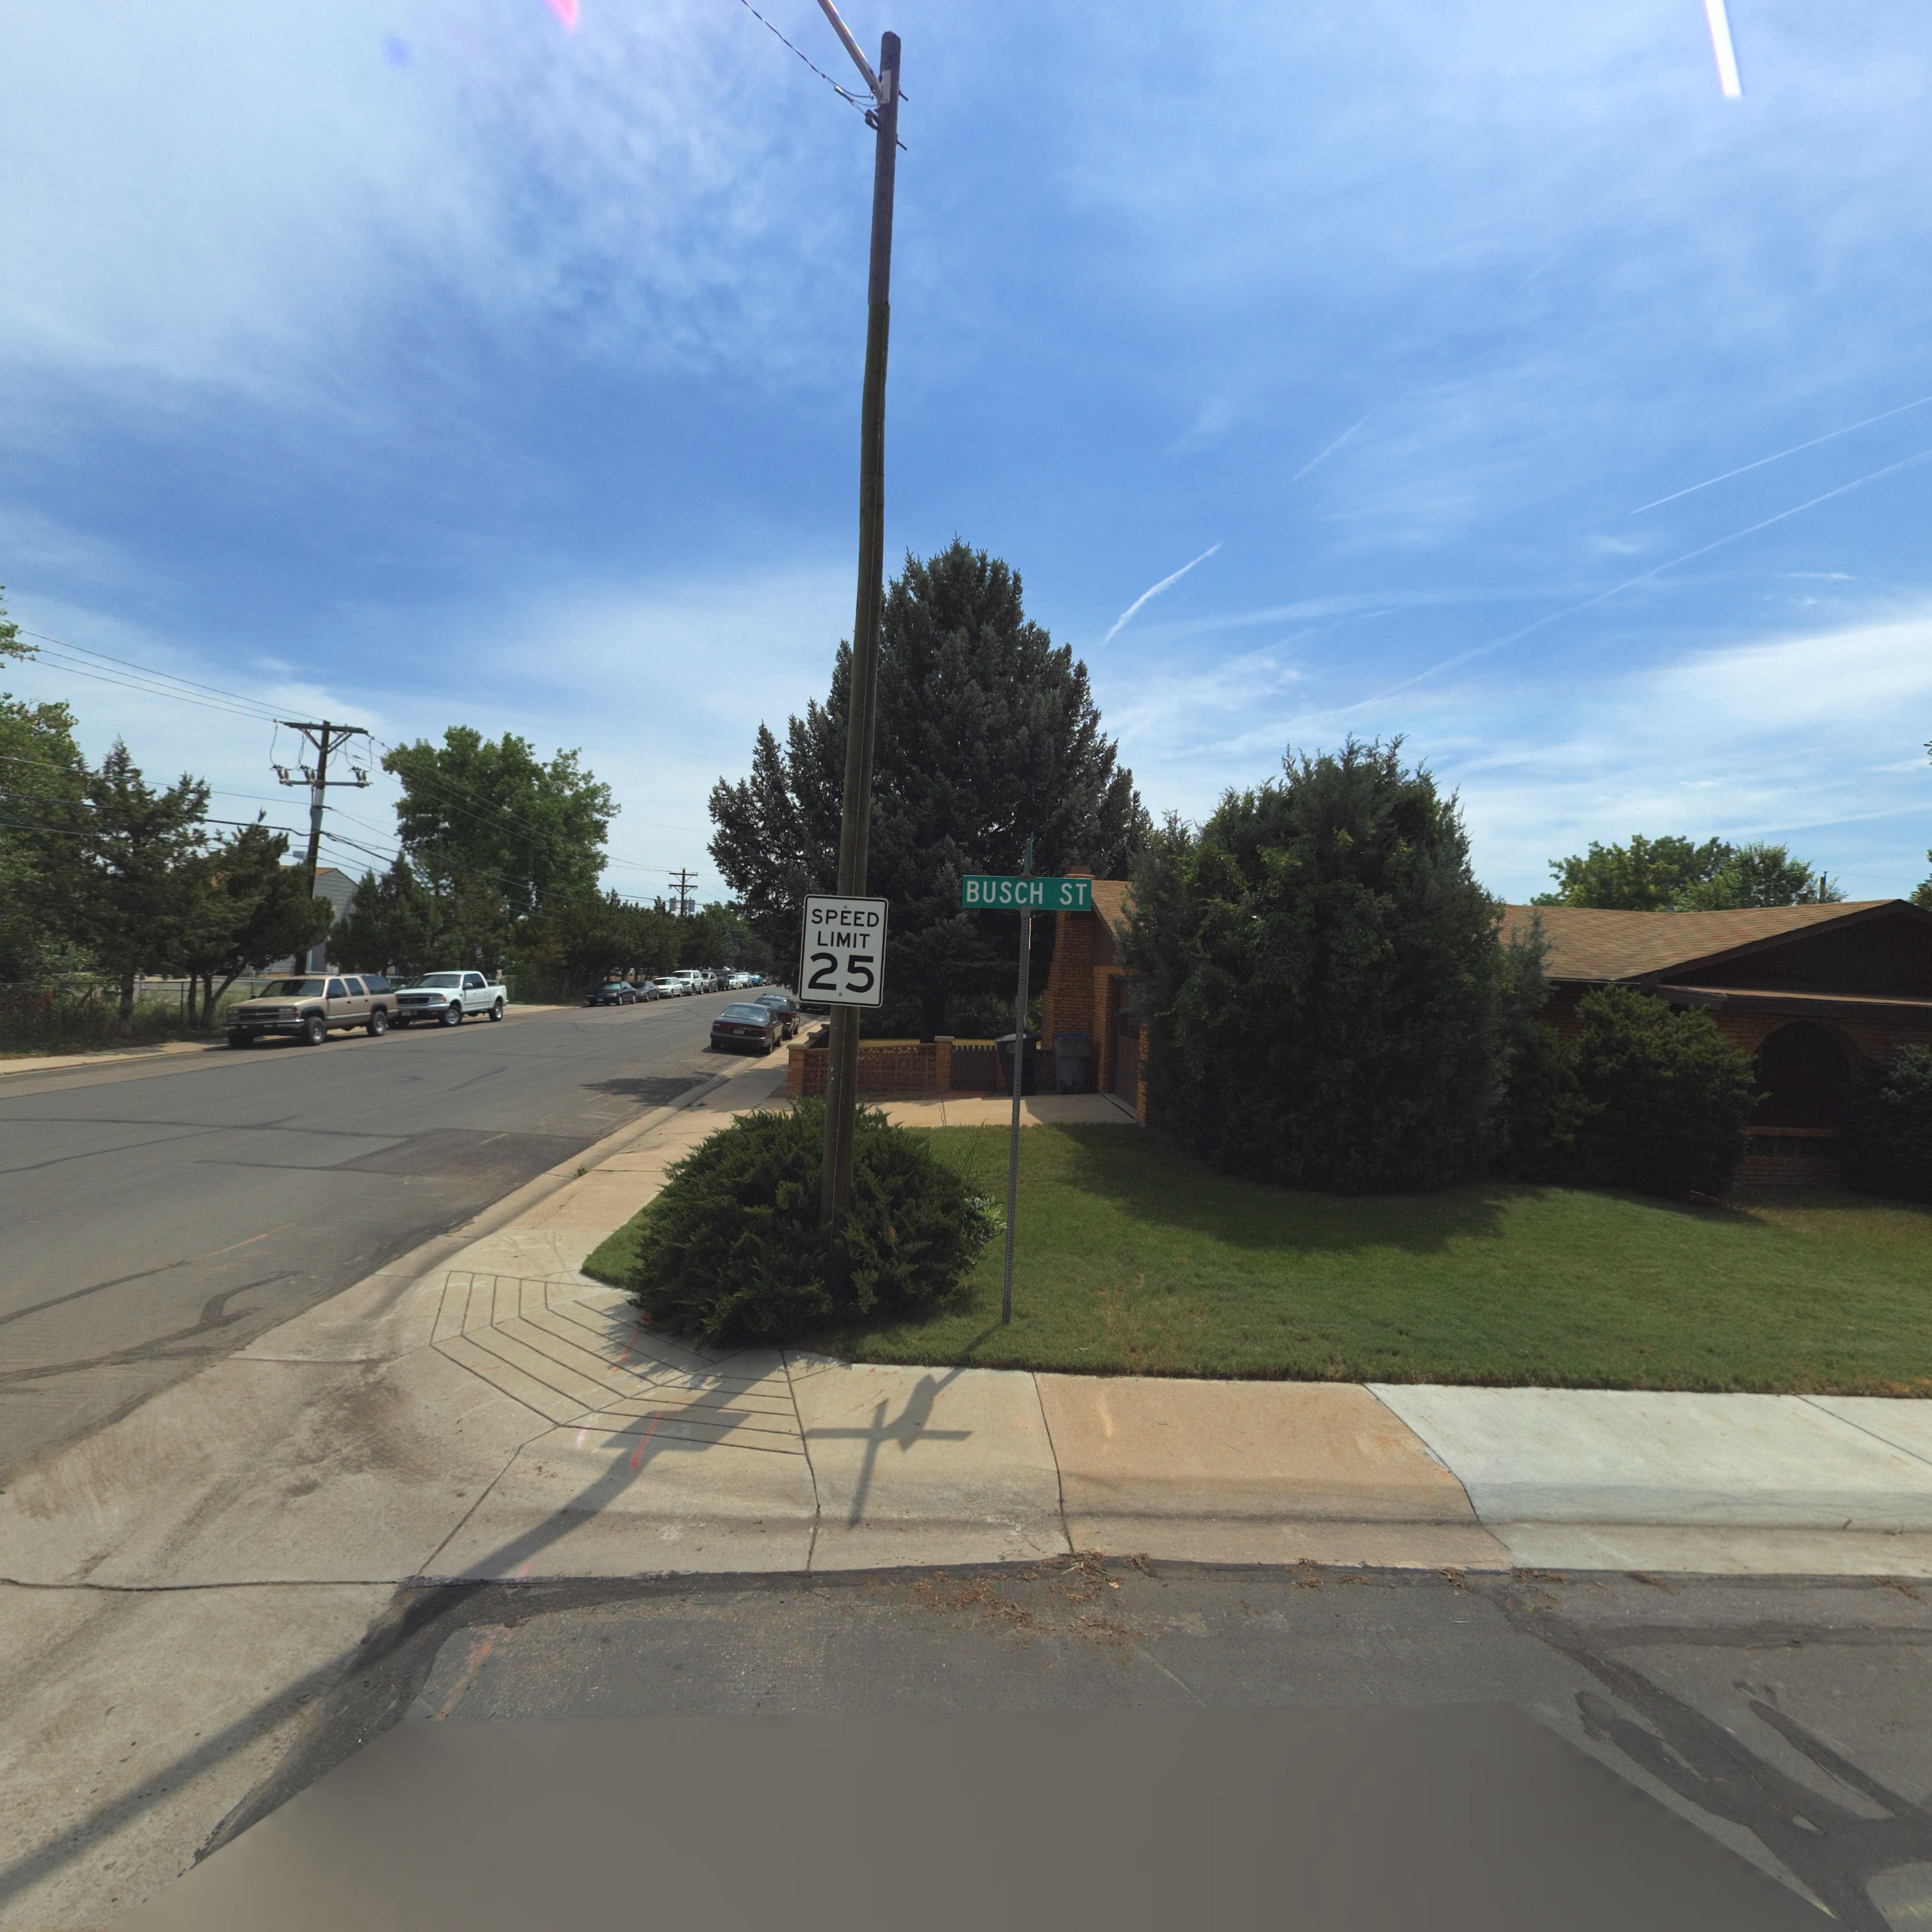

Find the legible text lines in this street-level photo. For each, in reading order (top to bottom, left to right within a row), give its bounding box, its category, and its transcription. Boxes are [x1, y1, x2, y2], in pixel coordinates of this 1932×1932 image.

[965, 879, 1089, 907] StreetName: BUSCH ST